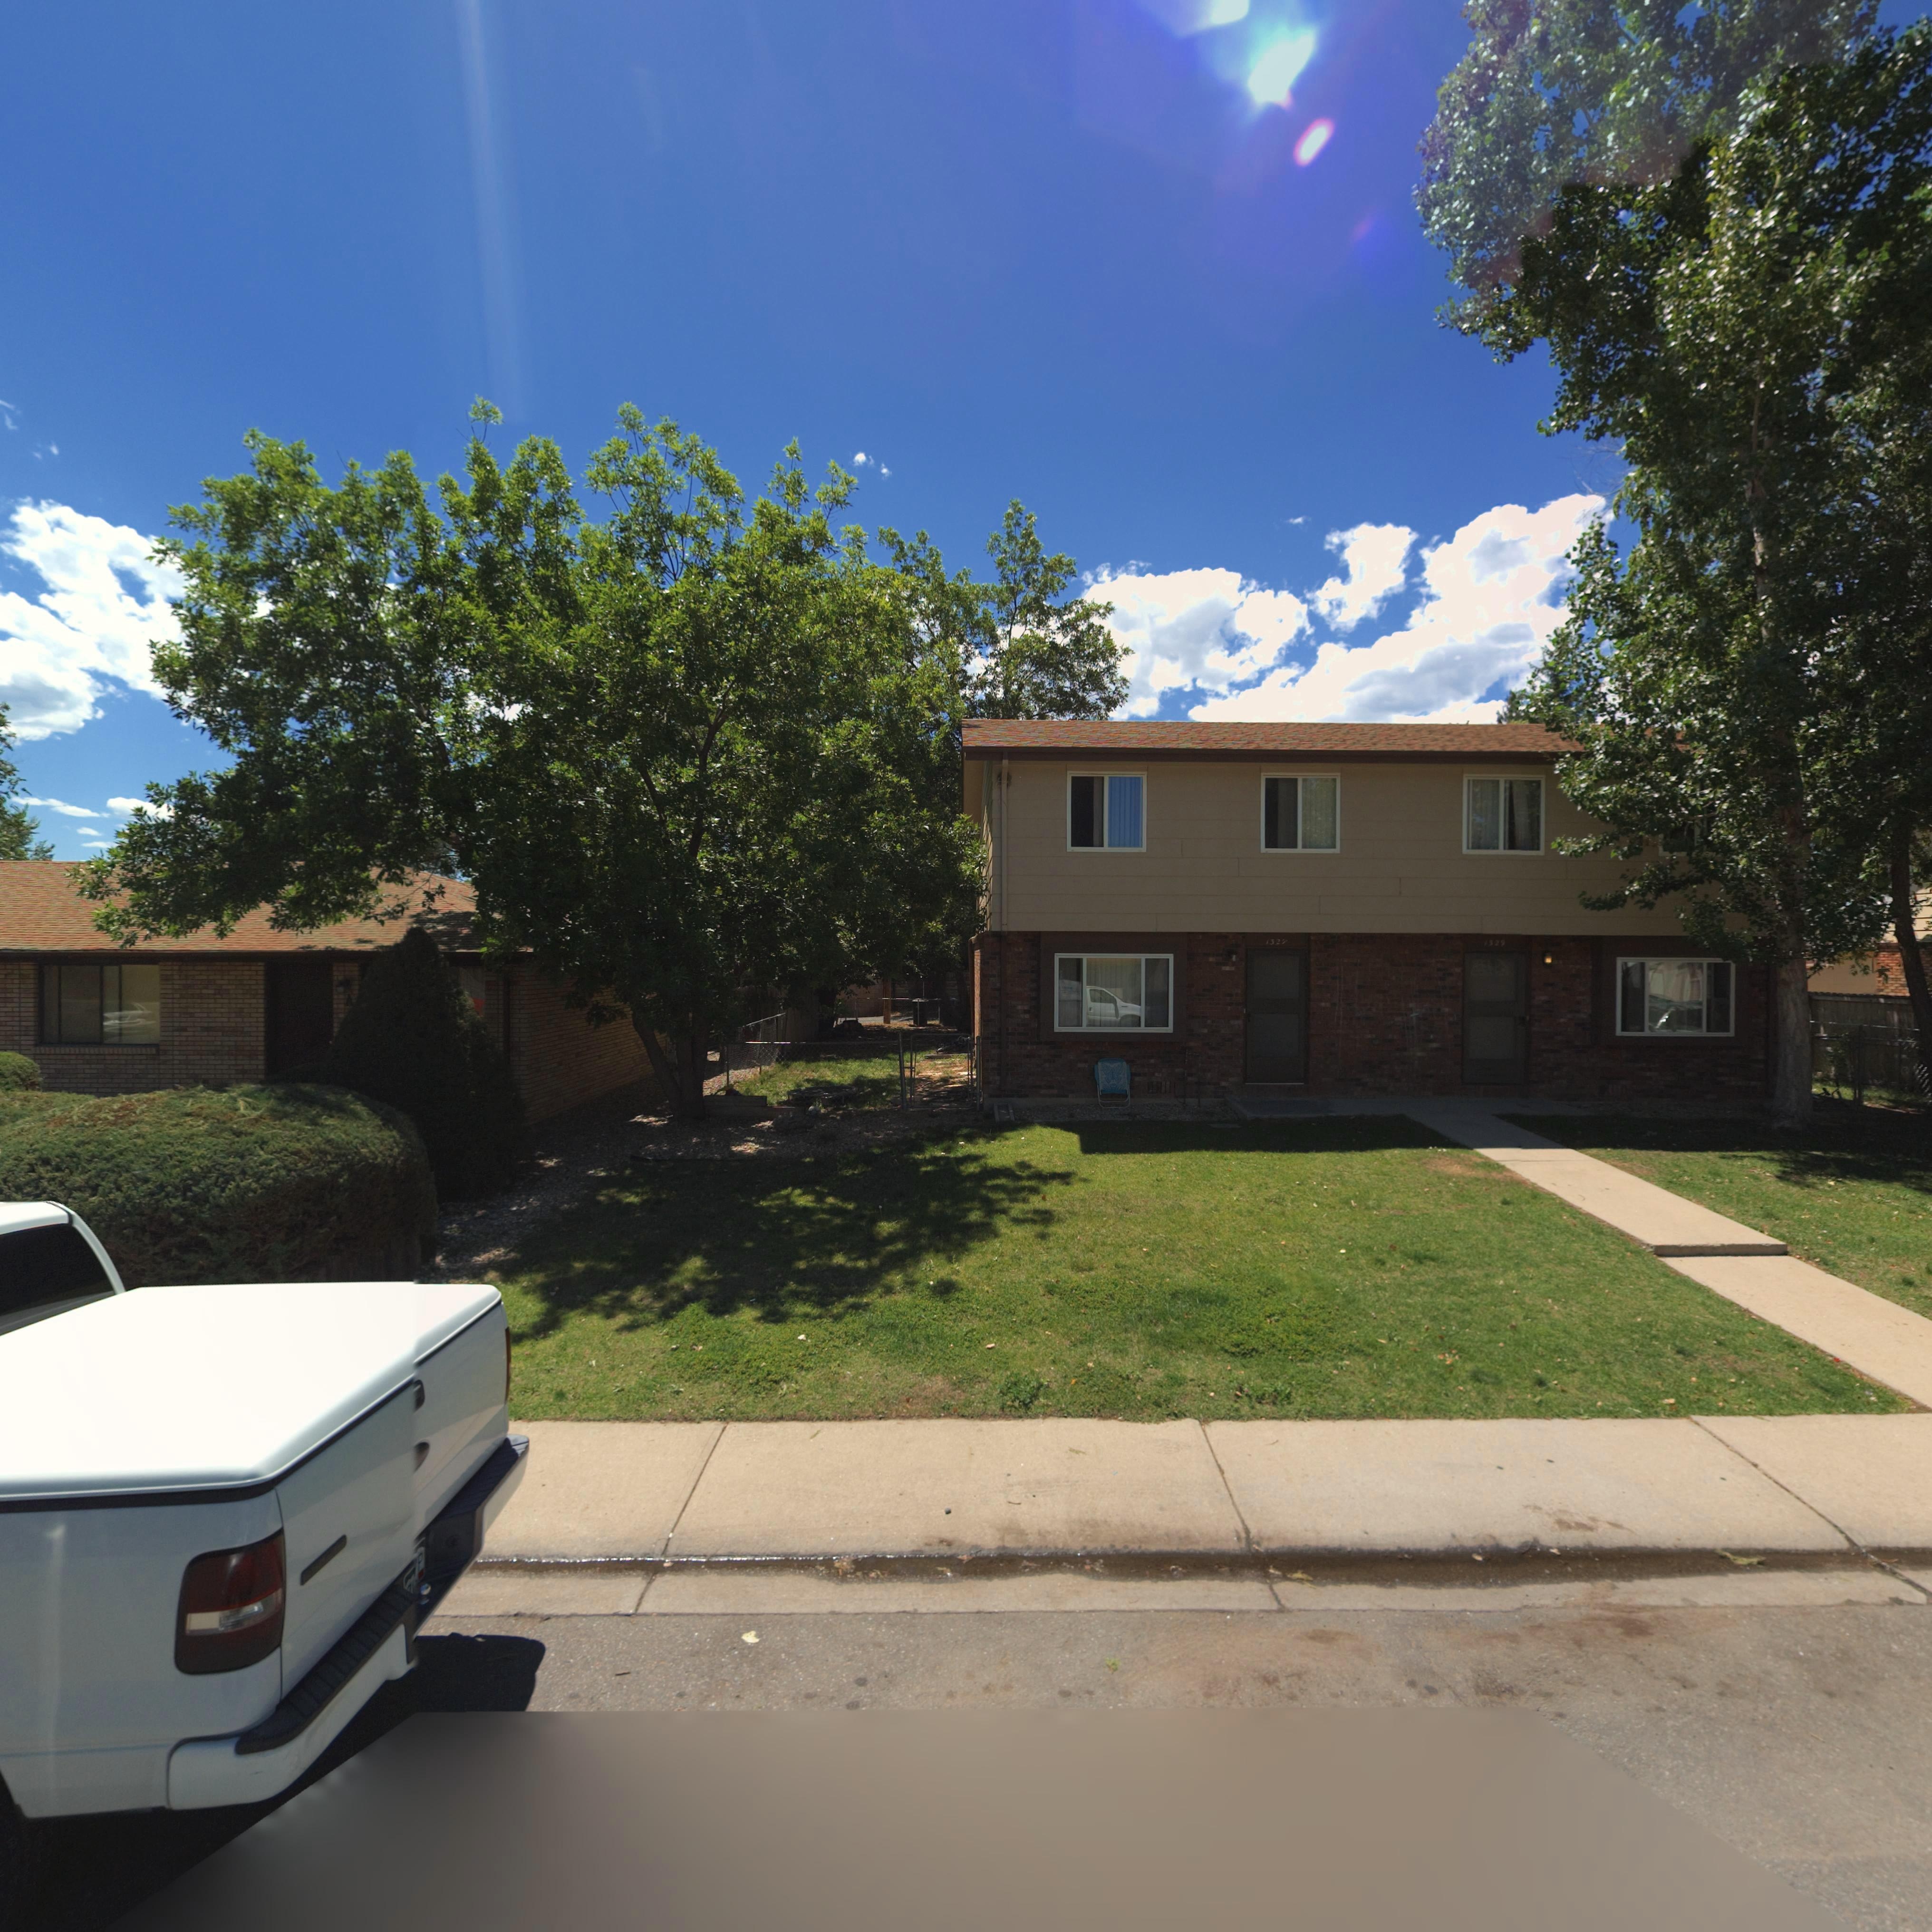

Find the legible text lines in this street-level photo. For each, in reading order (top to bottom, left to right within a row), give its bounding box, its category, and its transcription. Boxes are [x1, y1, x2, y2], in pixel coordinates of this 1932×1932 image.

[1265, 938, 1288, 946] StreetNumber: 1327
[1483, 938, 1506, 947] StreetNumber: 1329